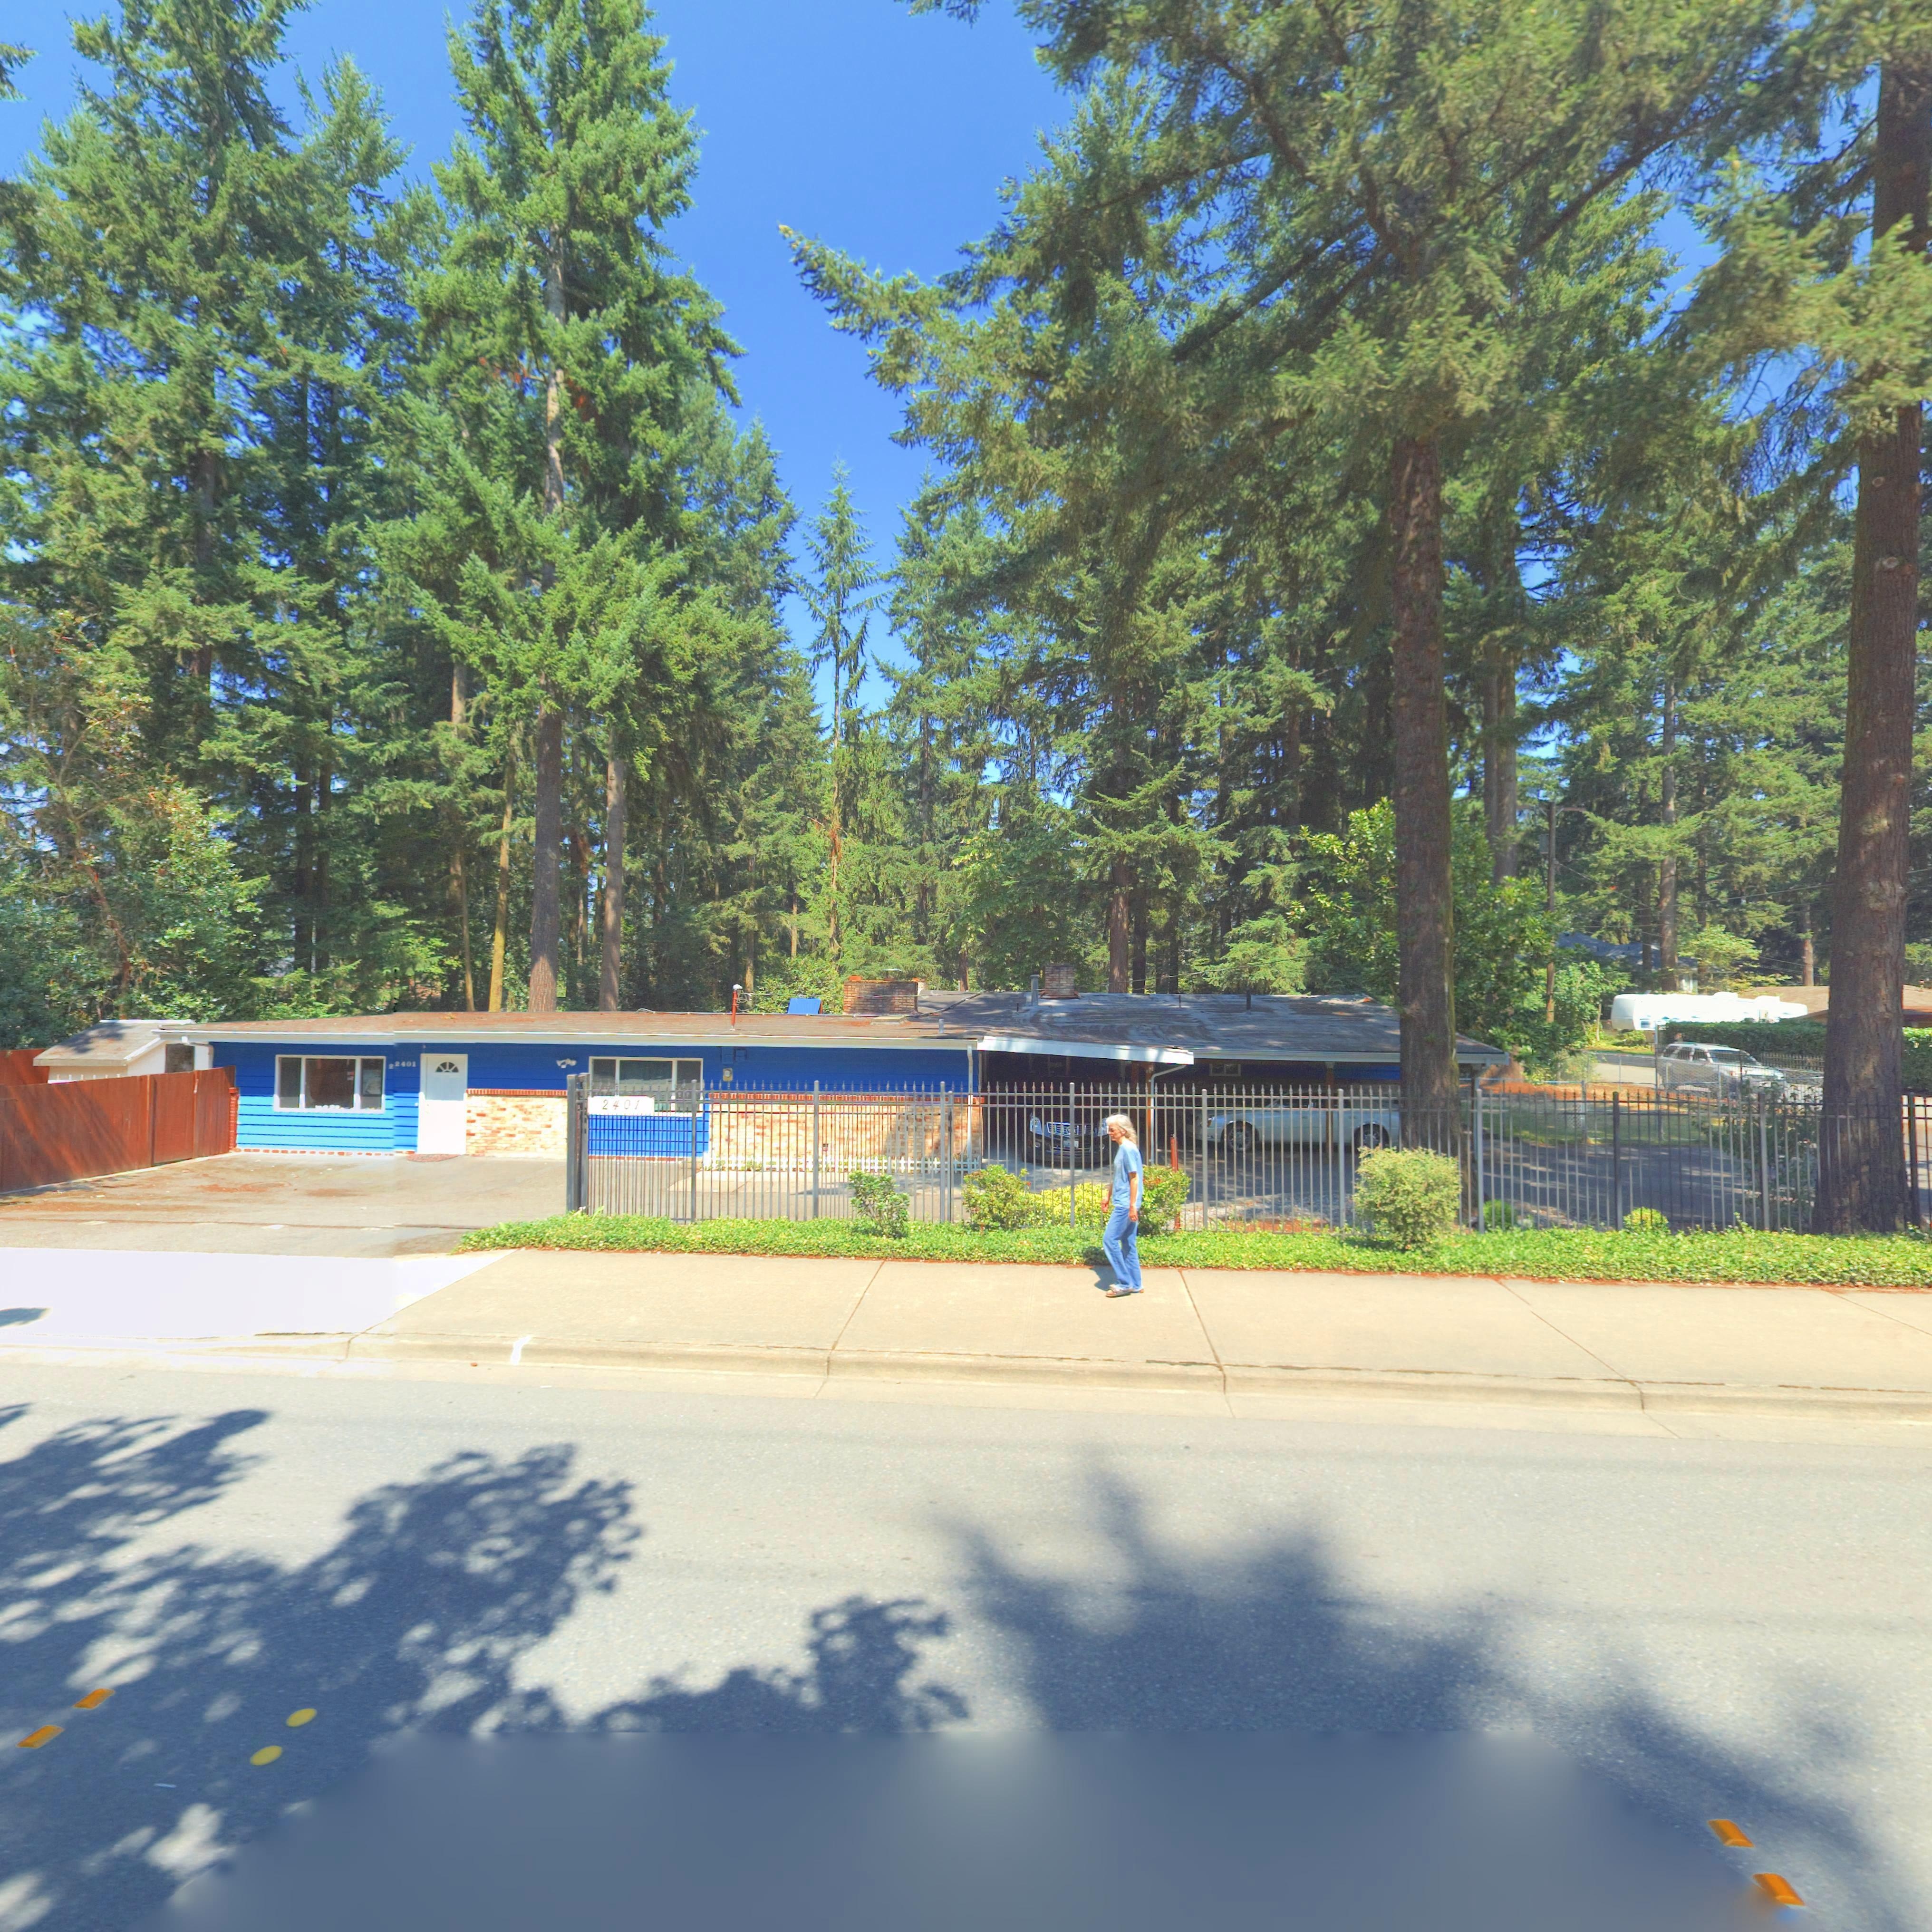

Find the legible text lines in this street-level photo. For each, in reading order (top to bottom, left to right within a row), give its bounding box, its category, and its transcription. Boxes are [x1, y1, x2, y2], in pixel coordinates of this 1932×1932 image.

[388, 1063, 394, 1069] StreetNumber: 2
[394, 1060, 416, 1067] StreetNumber: 2401
[602, 1099, 641, 1111] StreetNumber: 2401